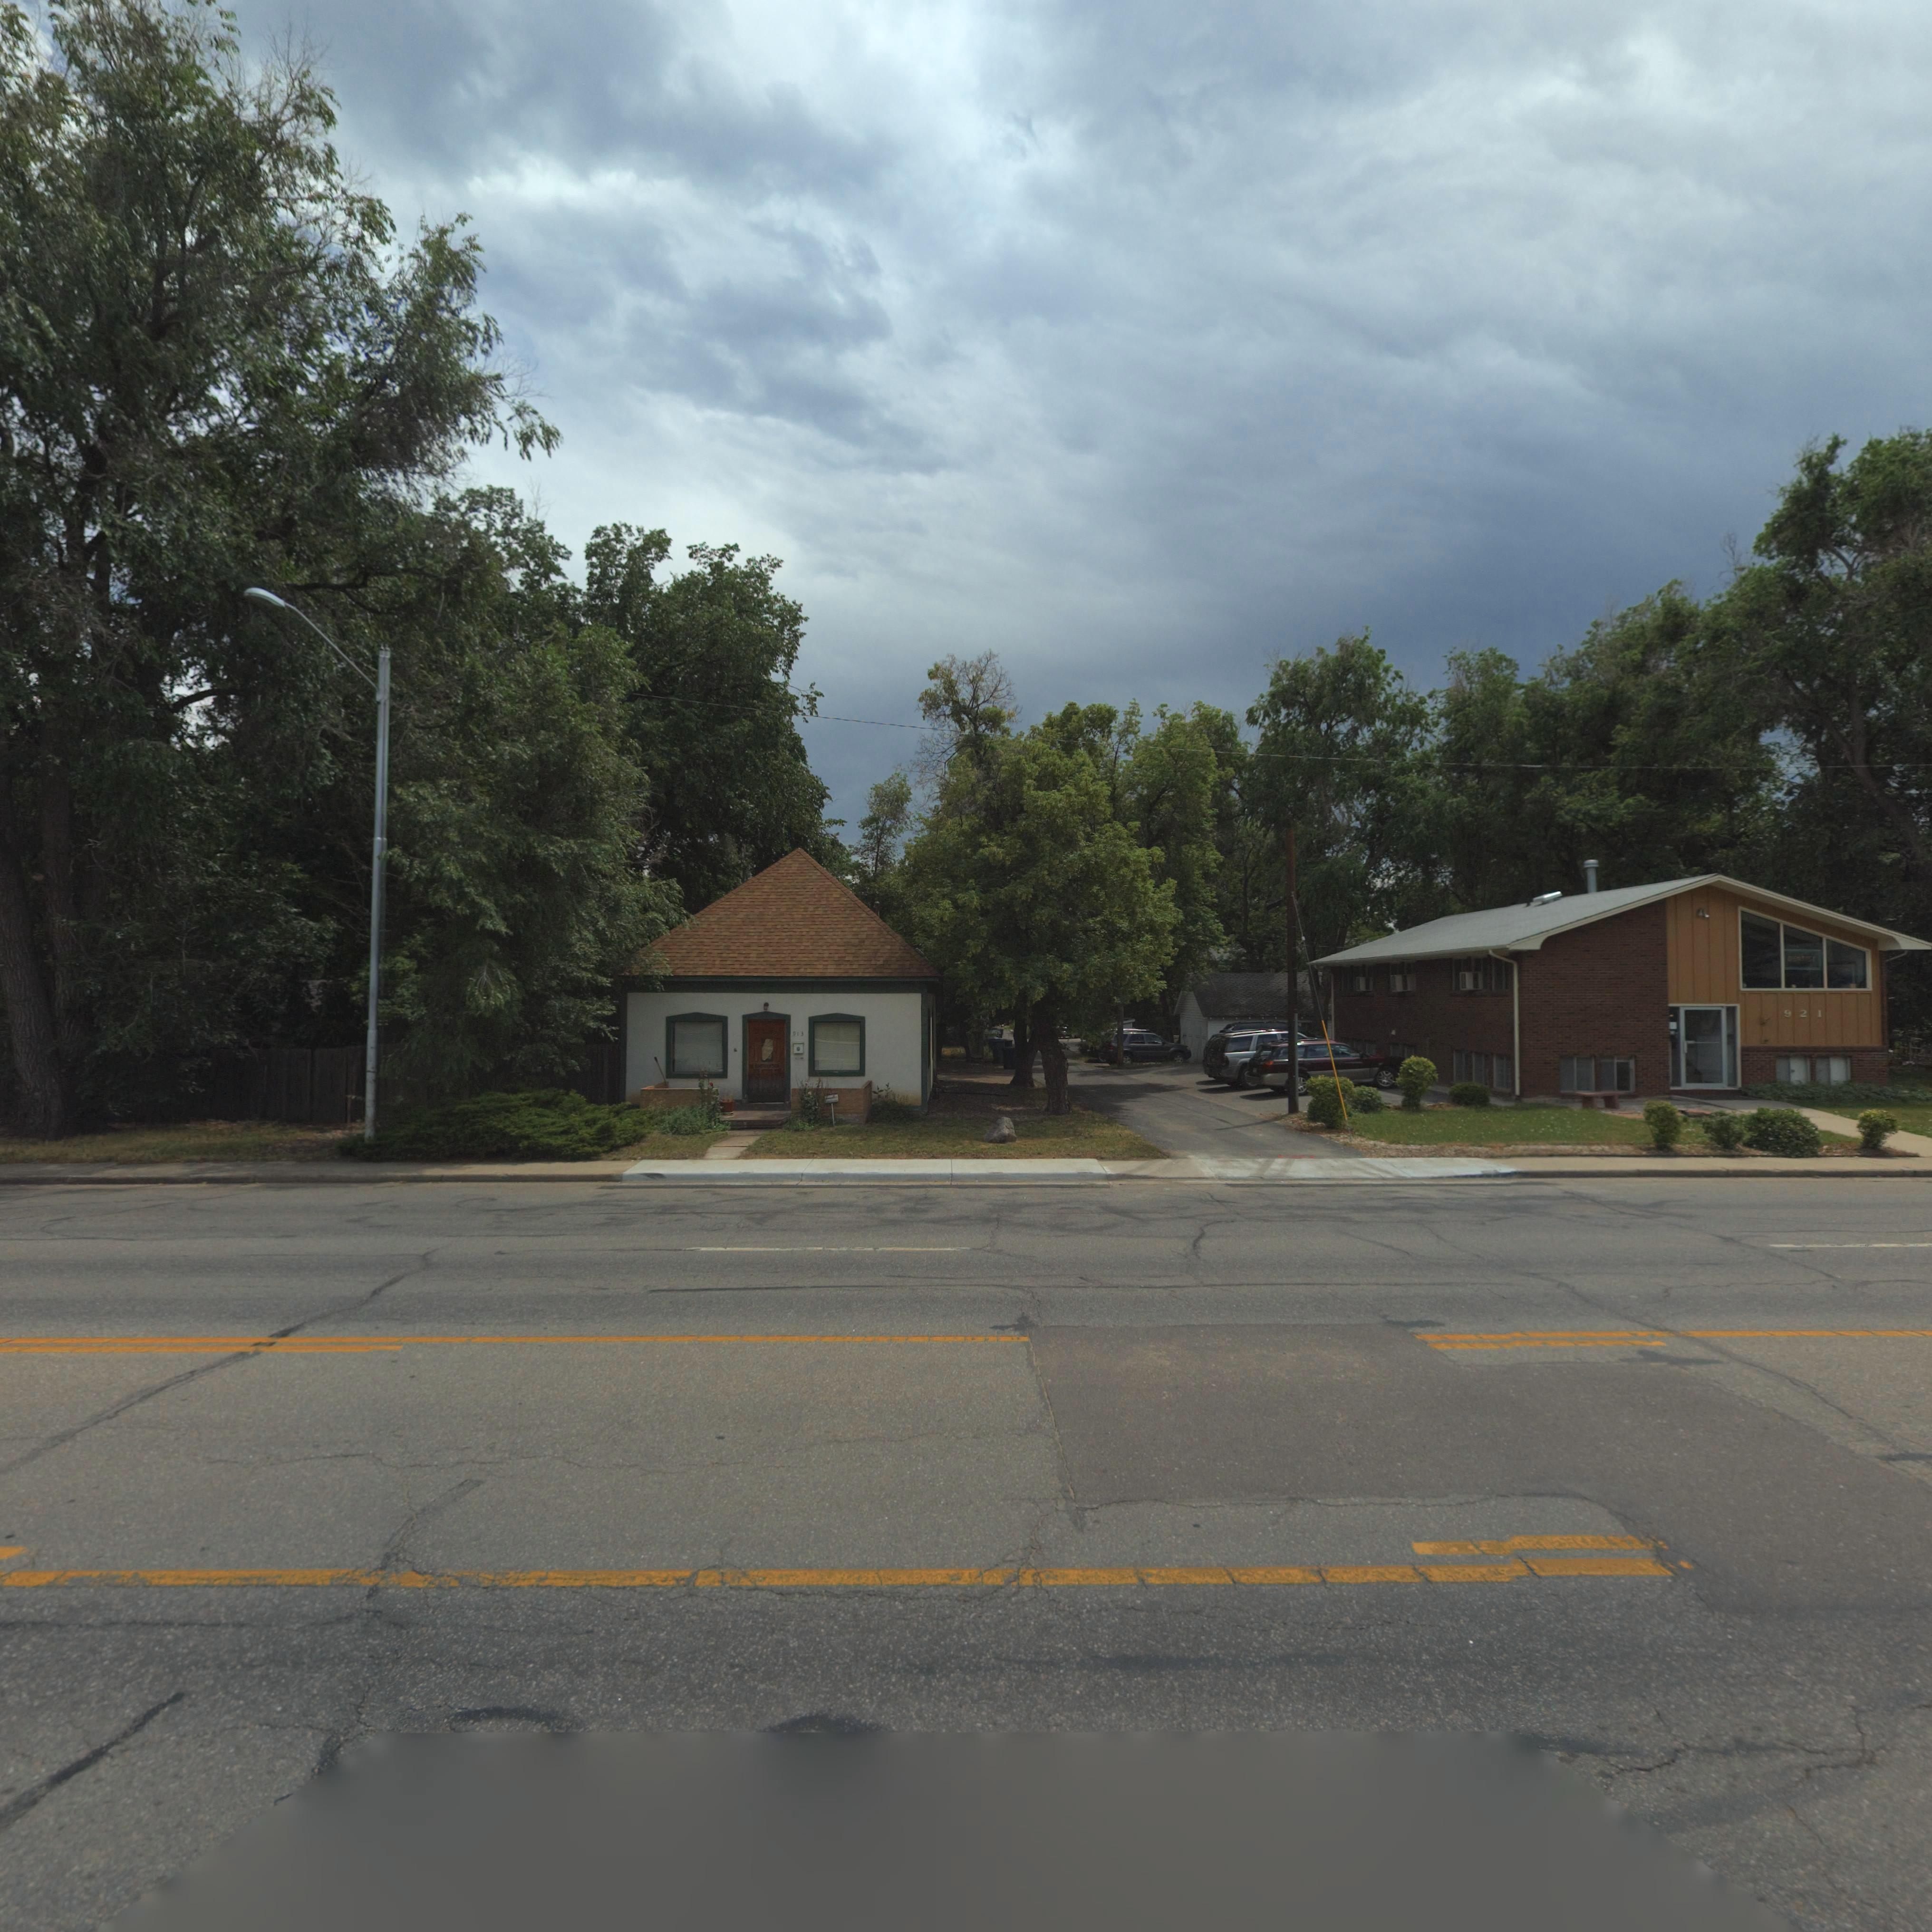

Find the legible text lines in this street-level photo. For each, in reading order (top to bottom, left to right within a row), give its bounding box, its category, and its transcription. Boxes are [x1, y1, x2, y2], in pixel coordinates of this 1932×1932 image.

[1783, 1008, 1823, 1018] StreetNumber: 921
[792, 1031, 804, 1036] StreetNumber: 913